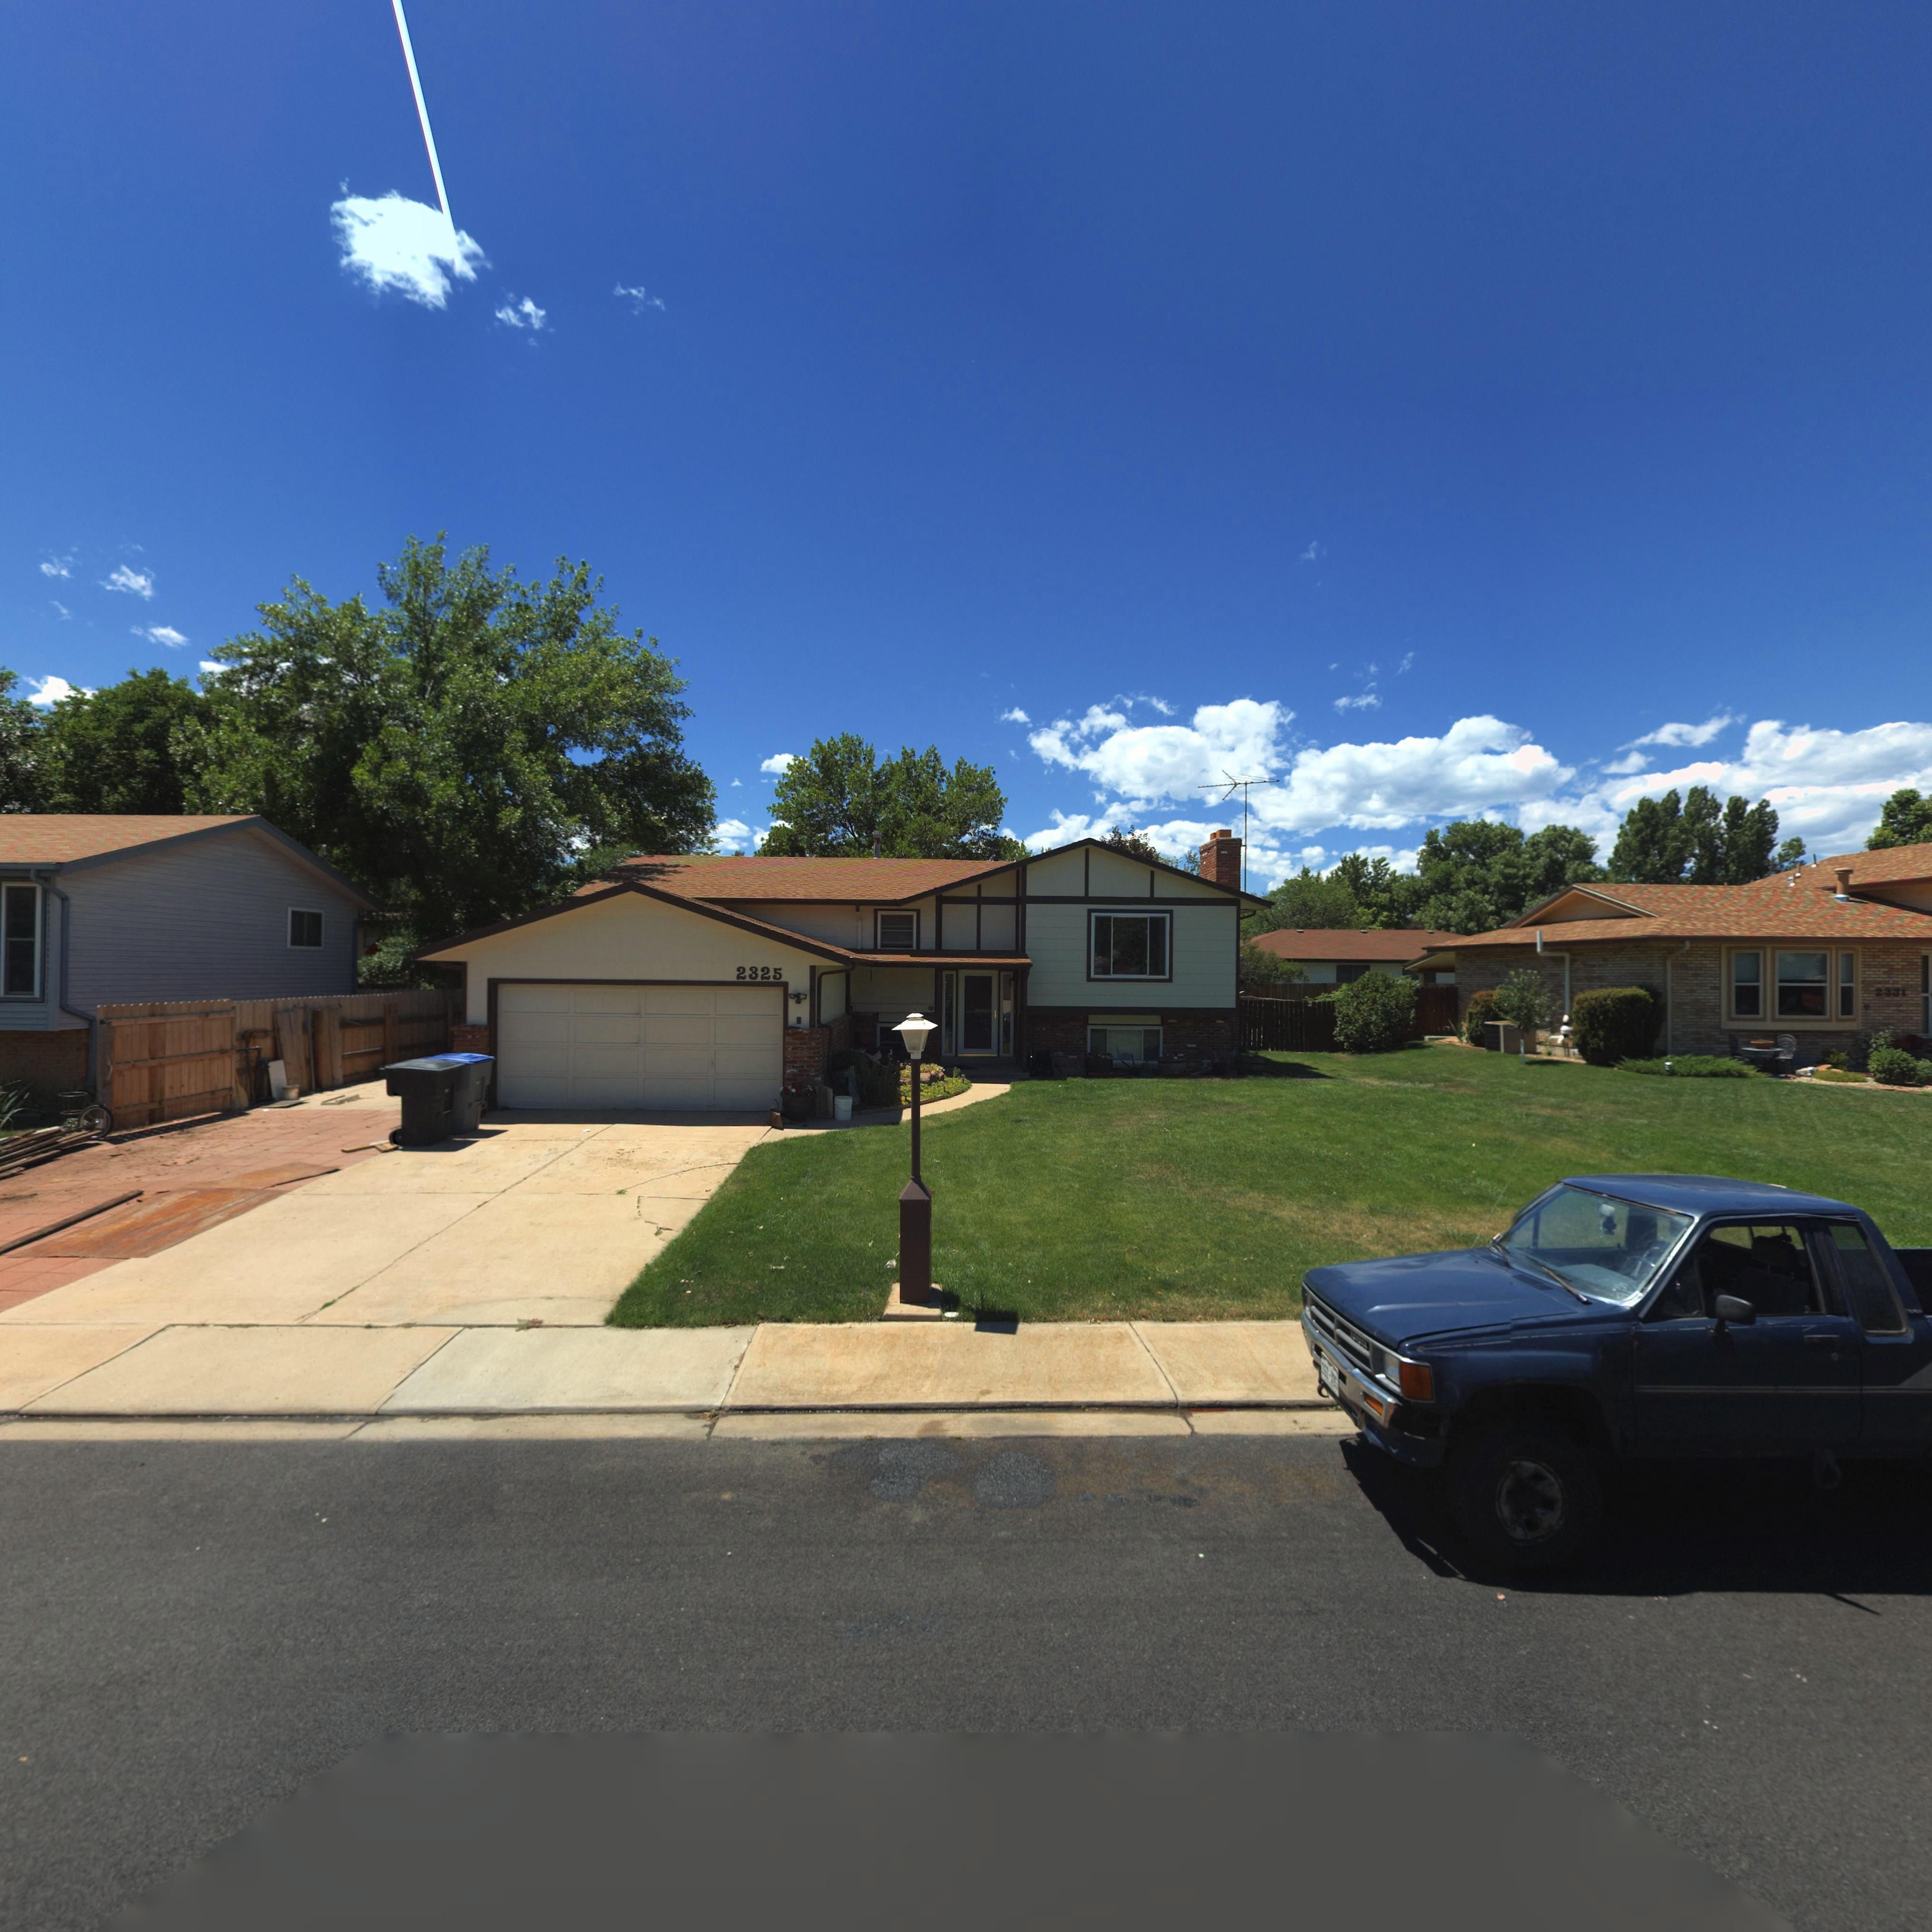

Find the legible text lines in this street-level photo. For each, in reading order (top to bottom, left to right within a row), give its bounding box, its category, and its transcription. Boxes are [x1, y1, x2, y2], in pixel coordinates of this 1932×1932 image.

[735, 965, 782, 980] StreetNumber: 2325
[1874, 987, 1906, 997] StreetNumber: 2331